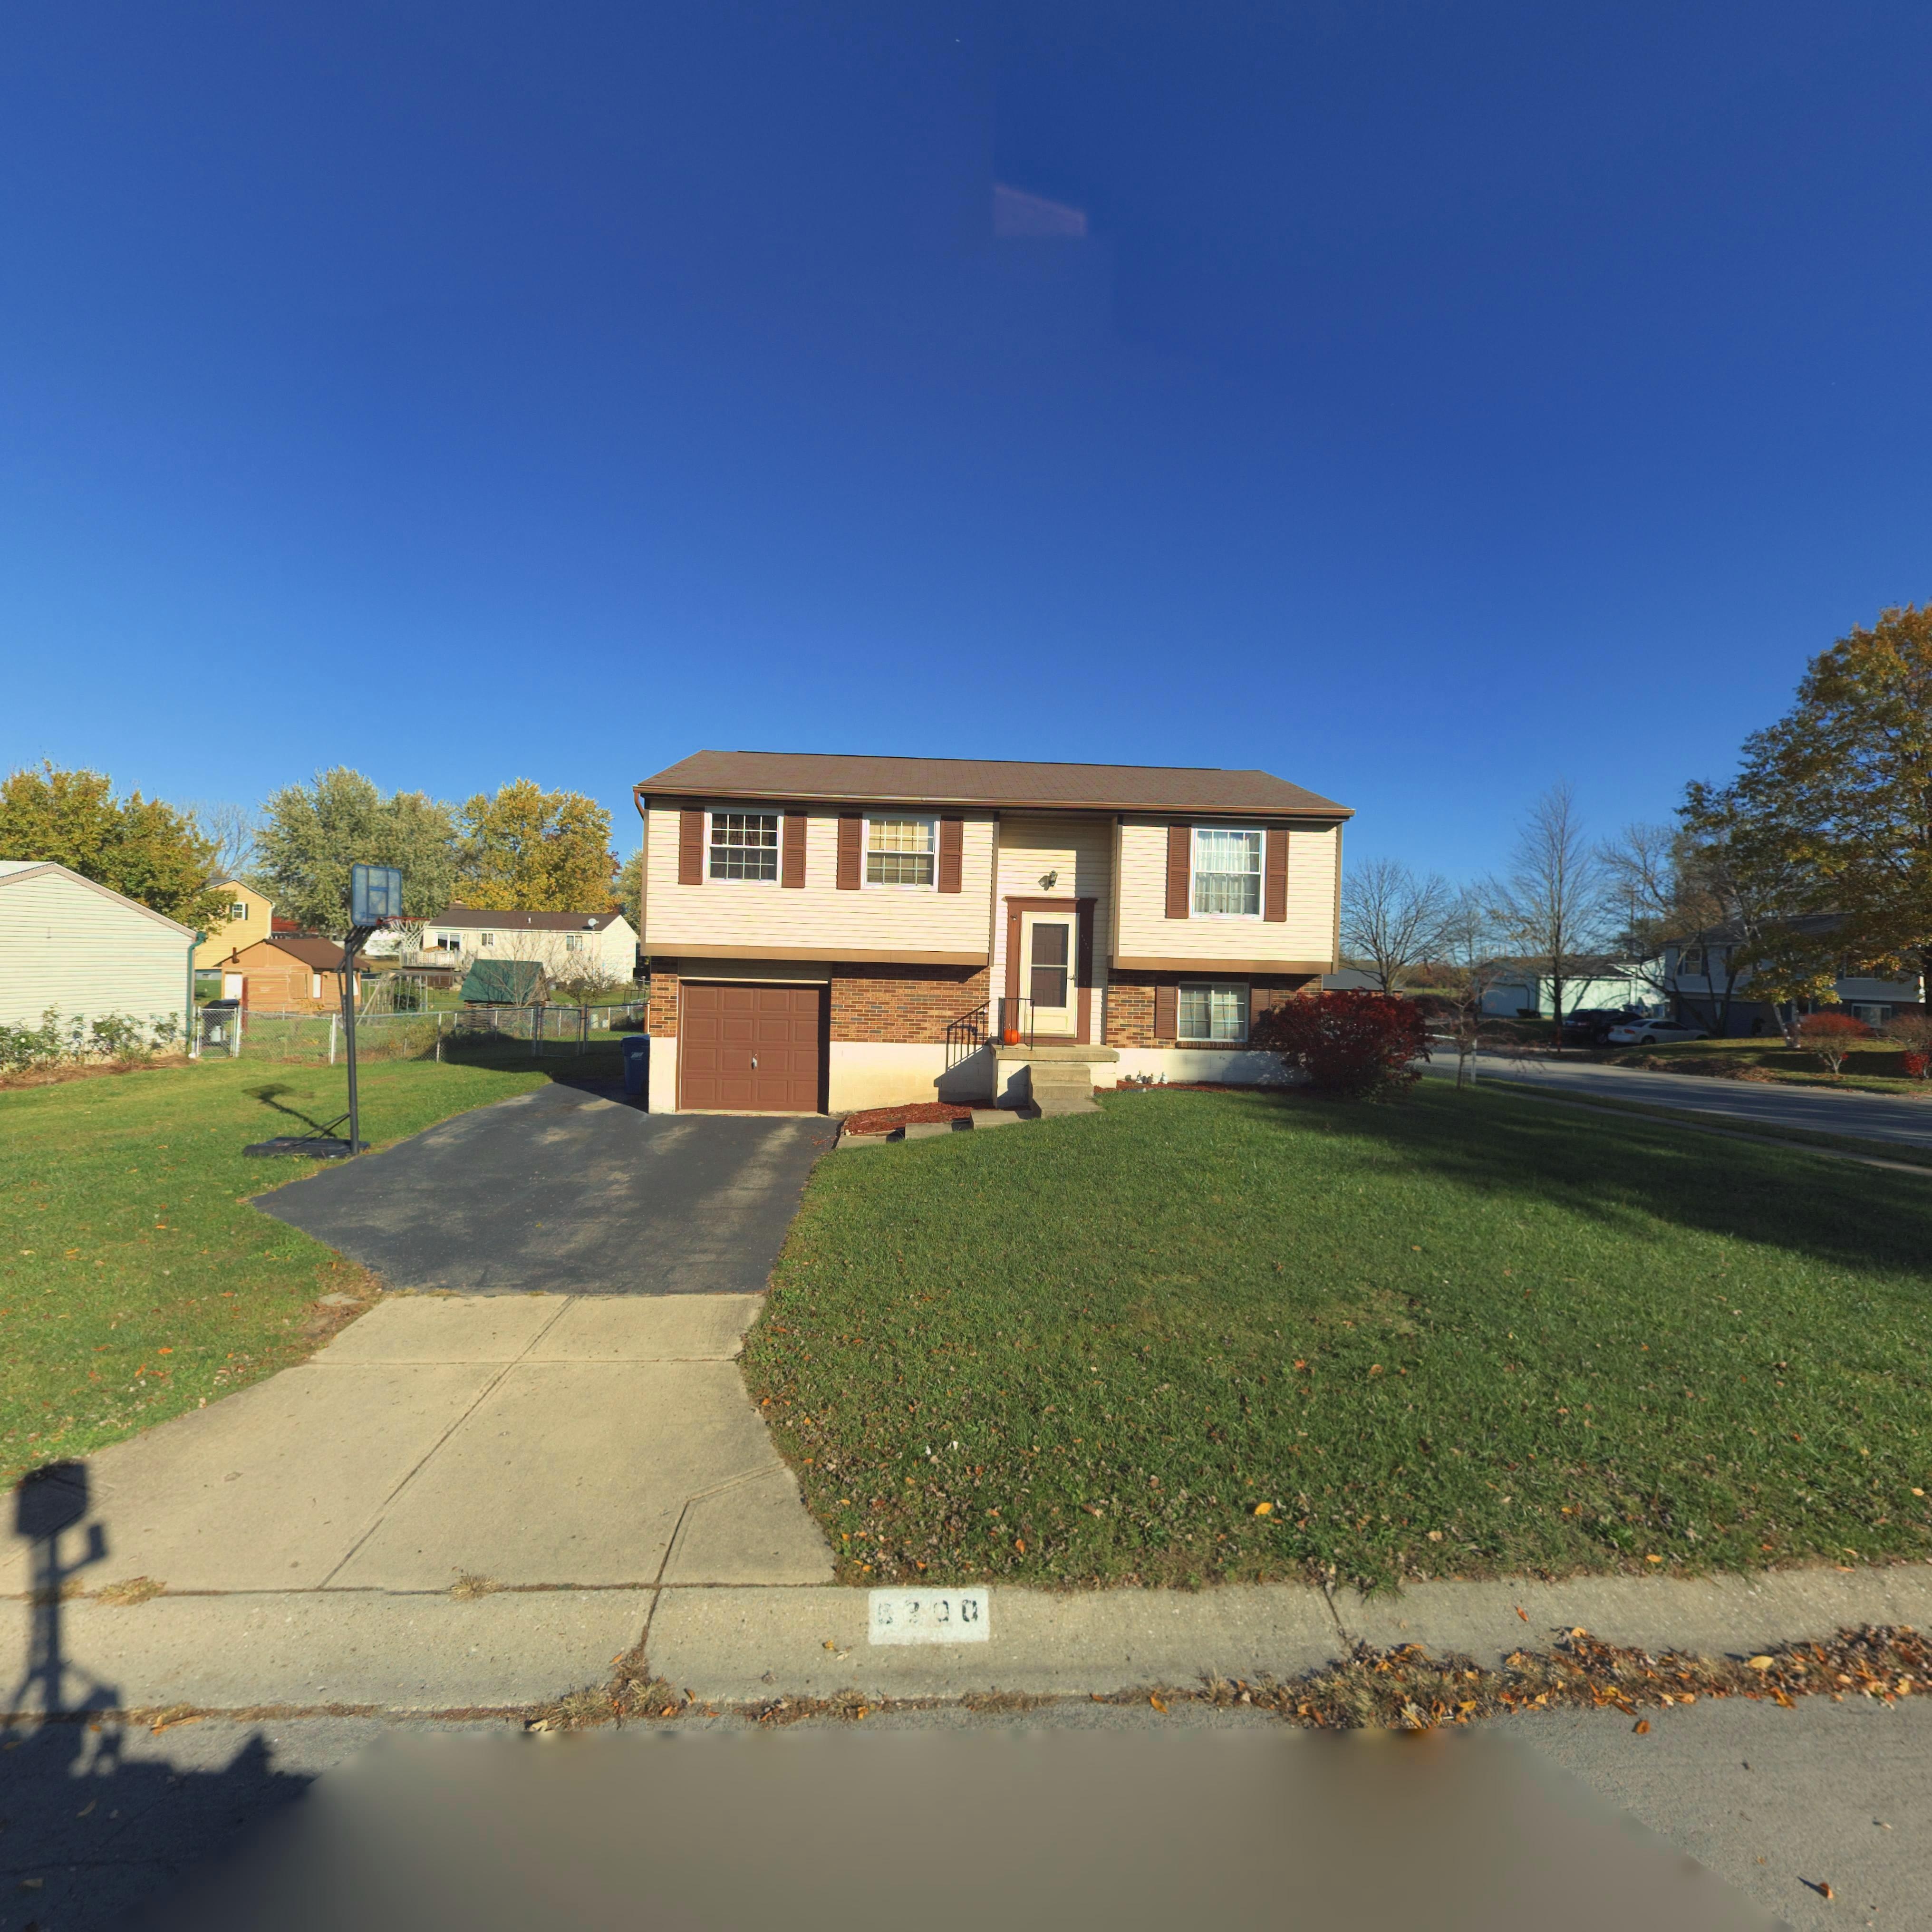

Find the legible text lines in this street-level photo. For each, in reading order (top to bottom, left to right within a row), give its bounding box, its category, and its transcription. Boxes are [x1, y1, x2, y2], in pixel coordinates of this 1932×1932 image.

[875, 1597, 981, 1628] StreetNumber: ***0